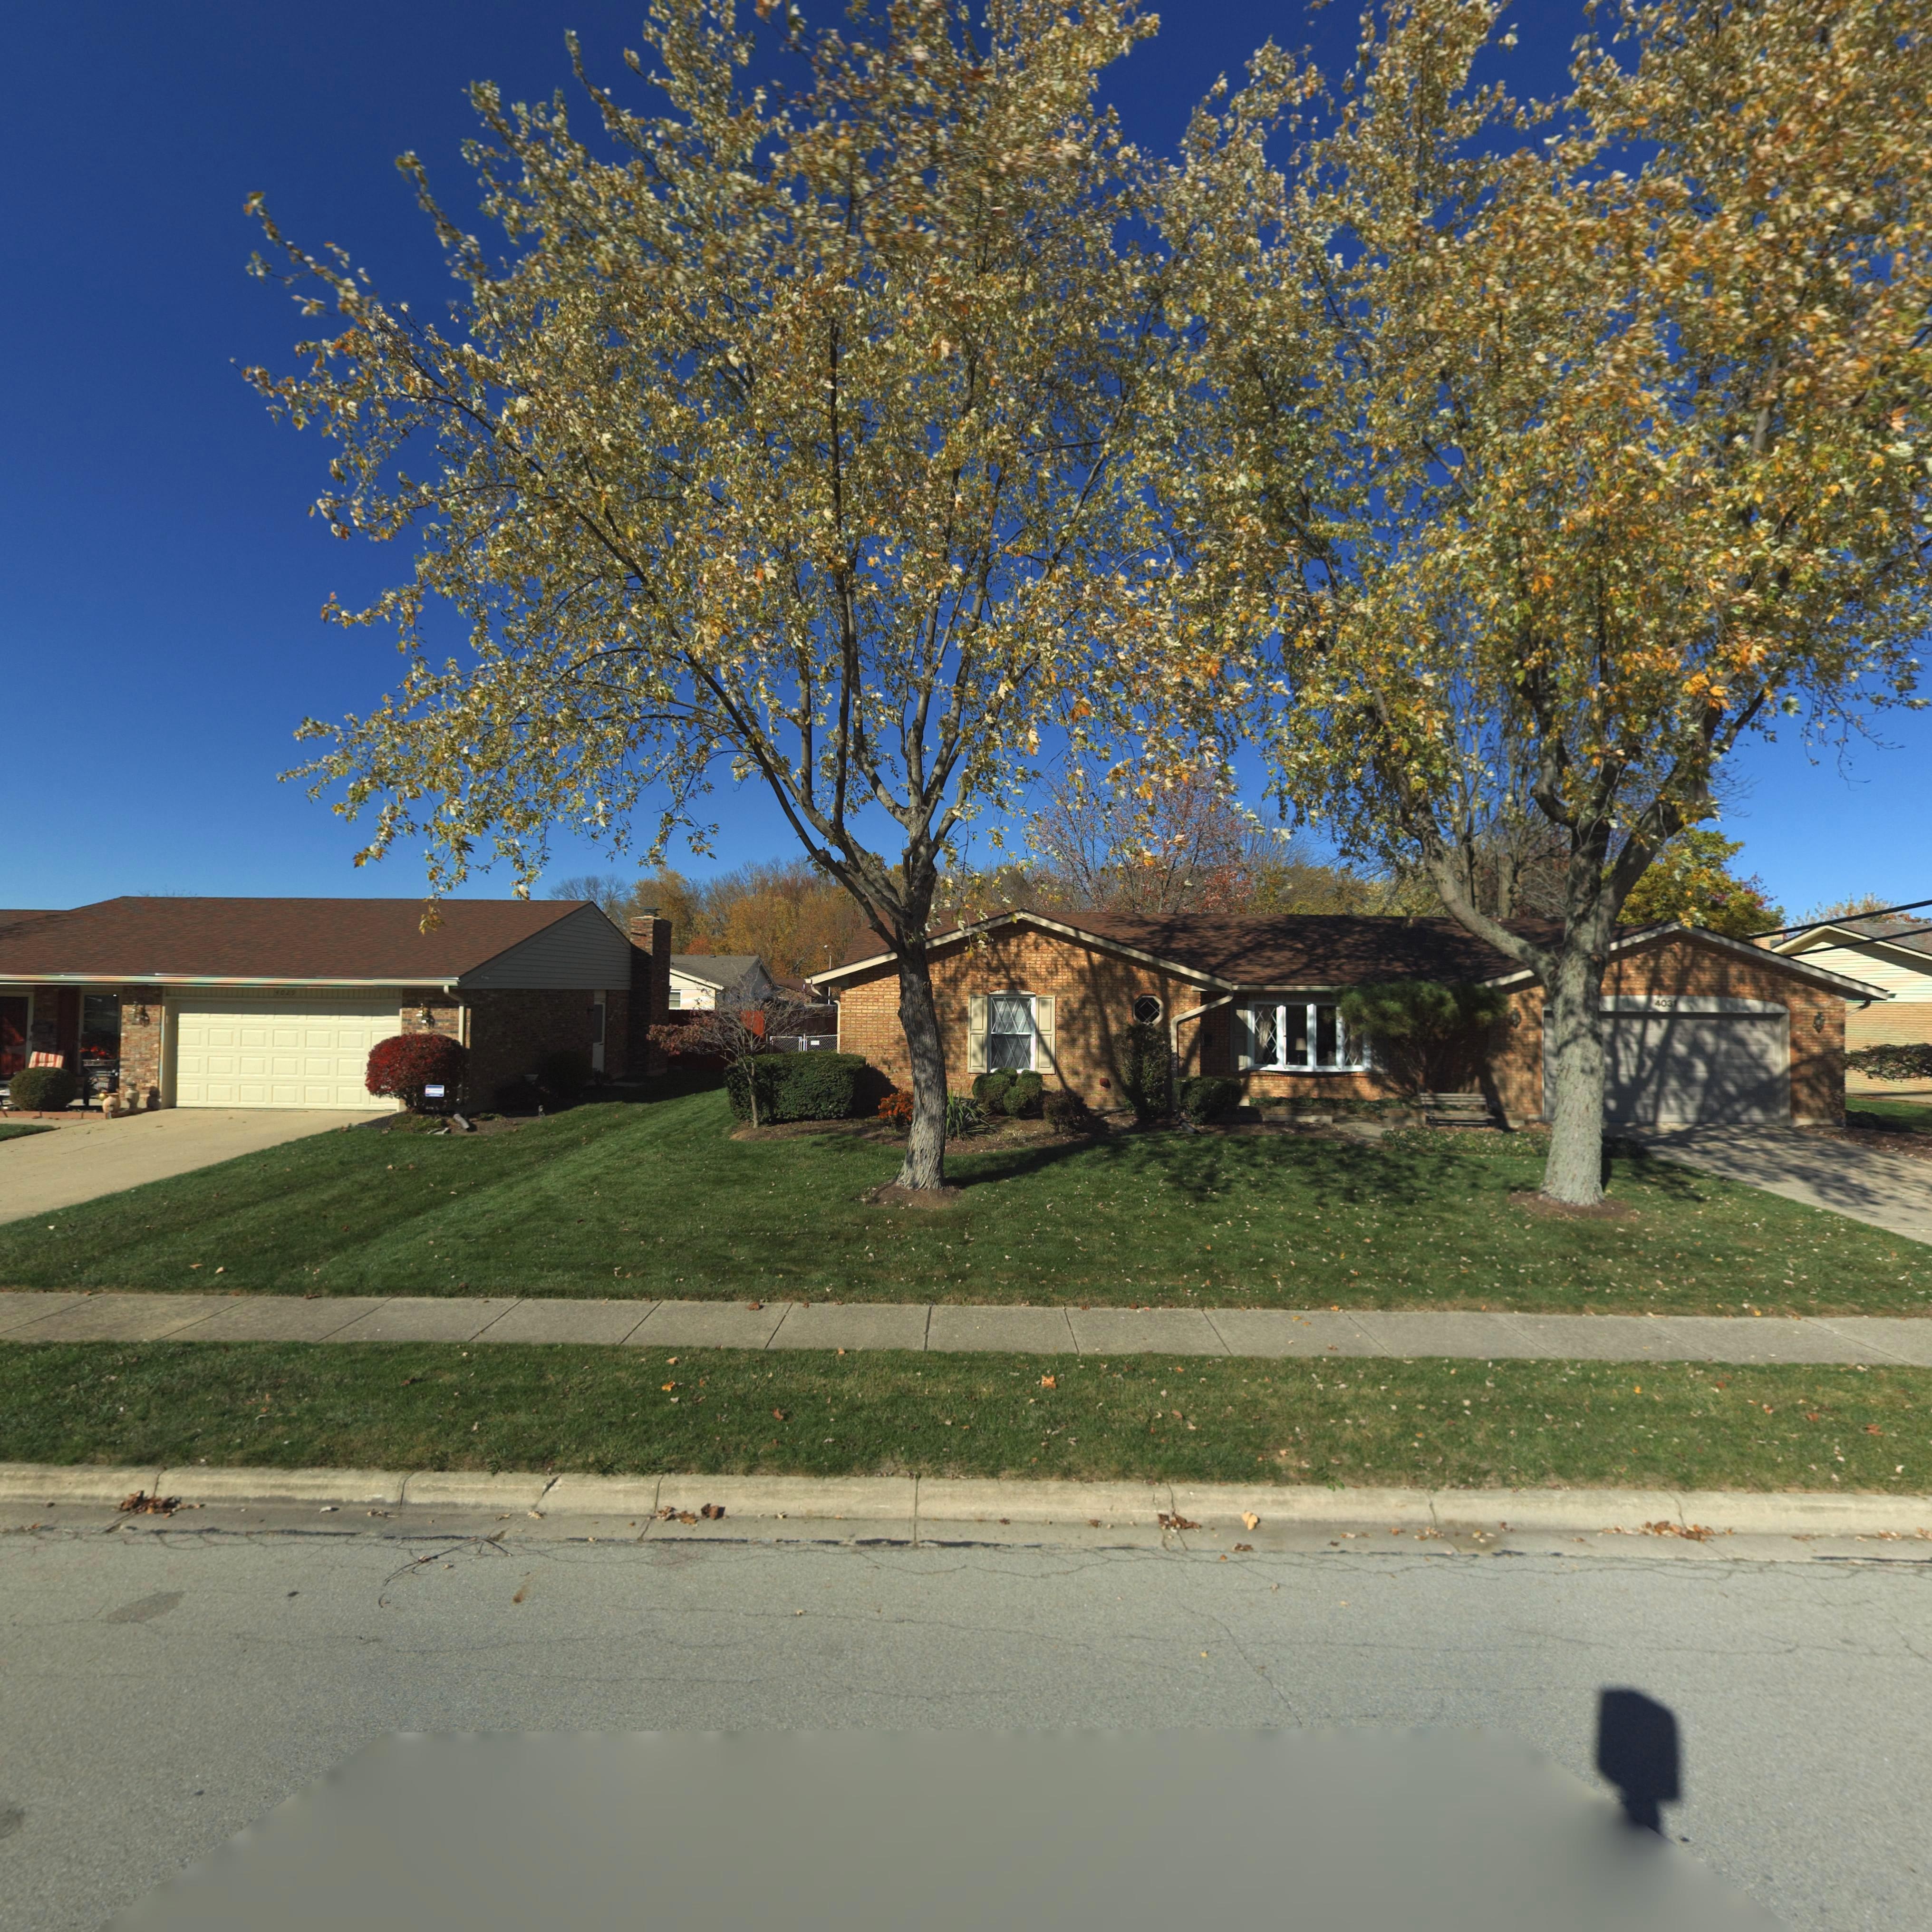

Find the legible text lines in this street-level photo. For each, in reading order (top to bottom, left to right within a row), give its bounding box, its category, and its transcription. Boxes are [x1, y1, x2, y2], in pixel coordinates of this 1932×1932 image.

[274, 989, 297, 996] StreetNumber: 4029
[1654, 999, 1678, 1007] StreetNumber: 4031